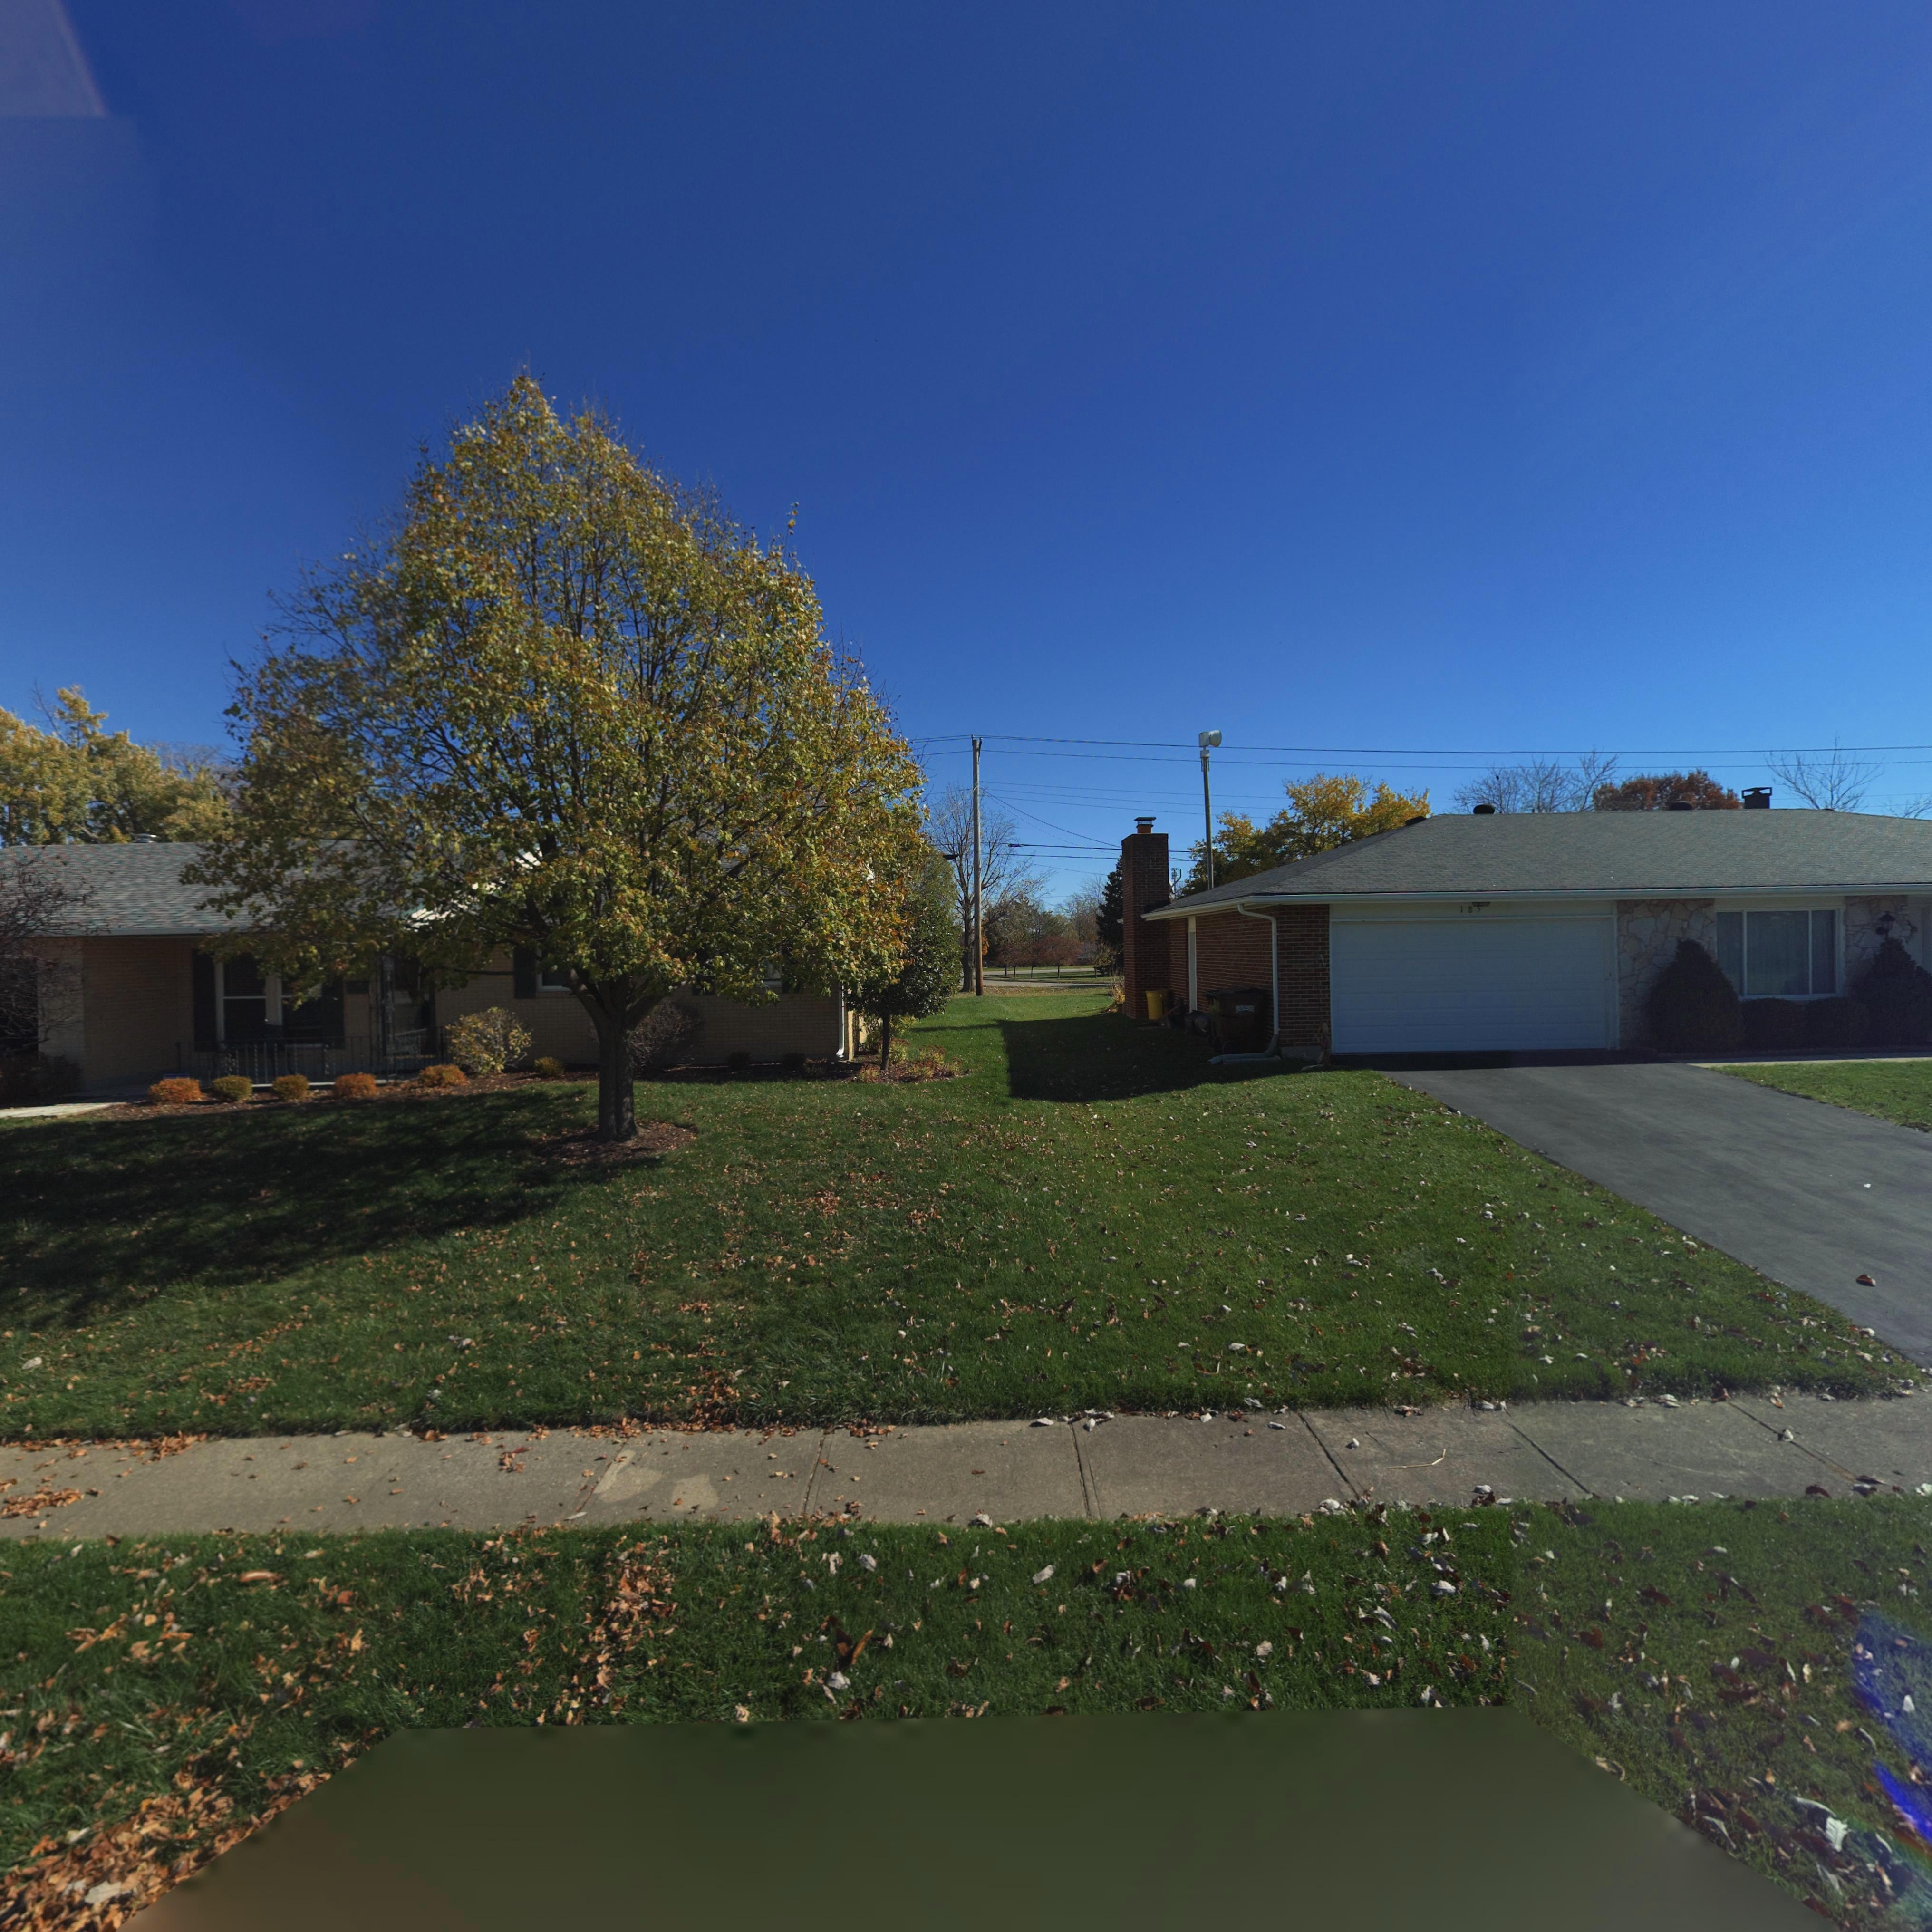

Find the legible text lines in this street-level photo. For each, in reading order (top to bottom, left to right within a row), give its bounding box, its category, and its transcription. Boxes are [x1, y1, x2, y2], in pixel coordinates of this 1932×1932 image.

[1459, 905, 1473, 914] StreetNumber: 18